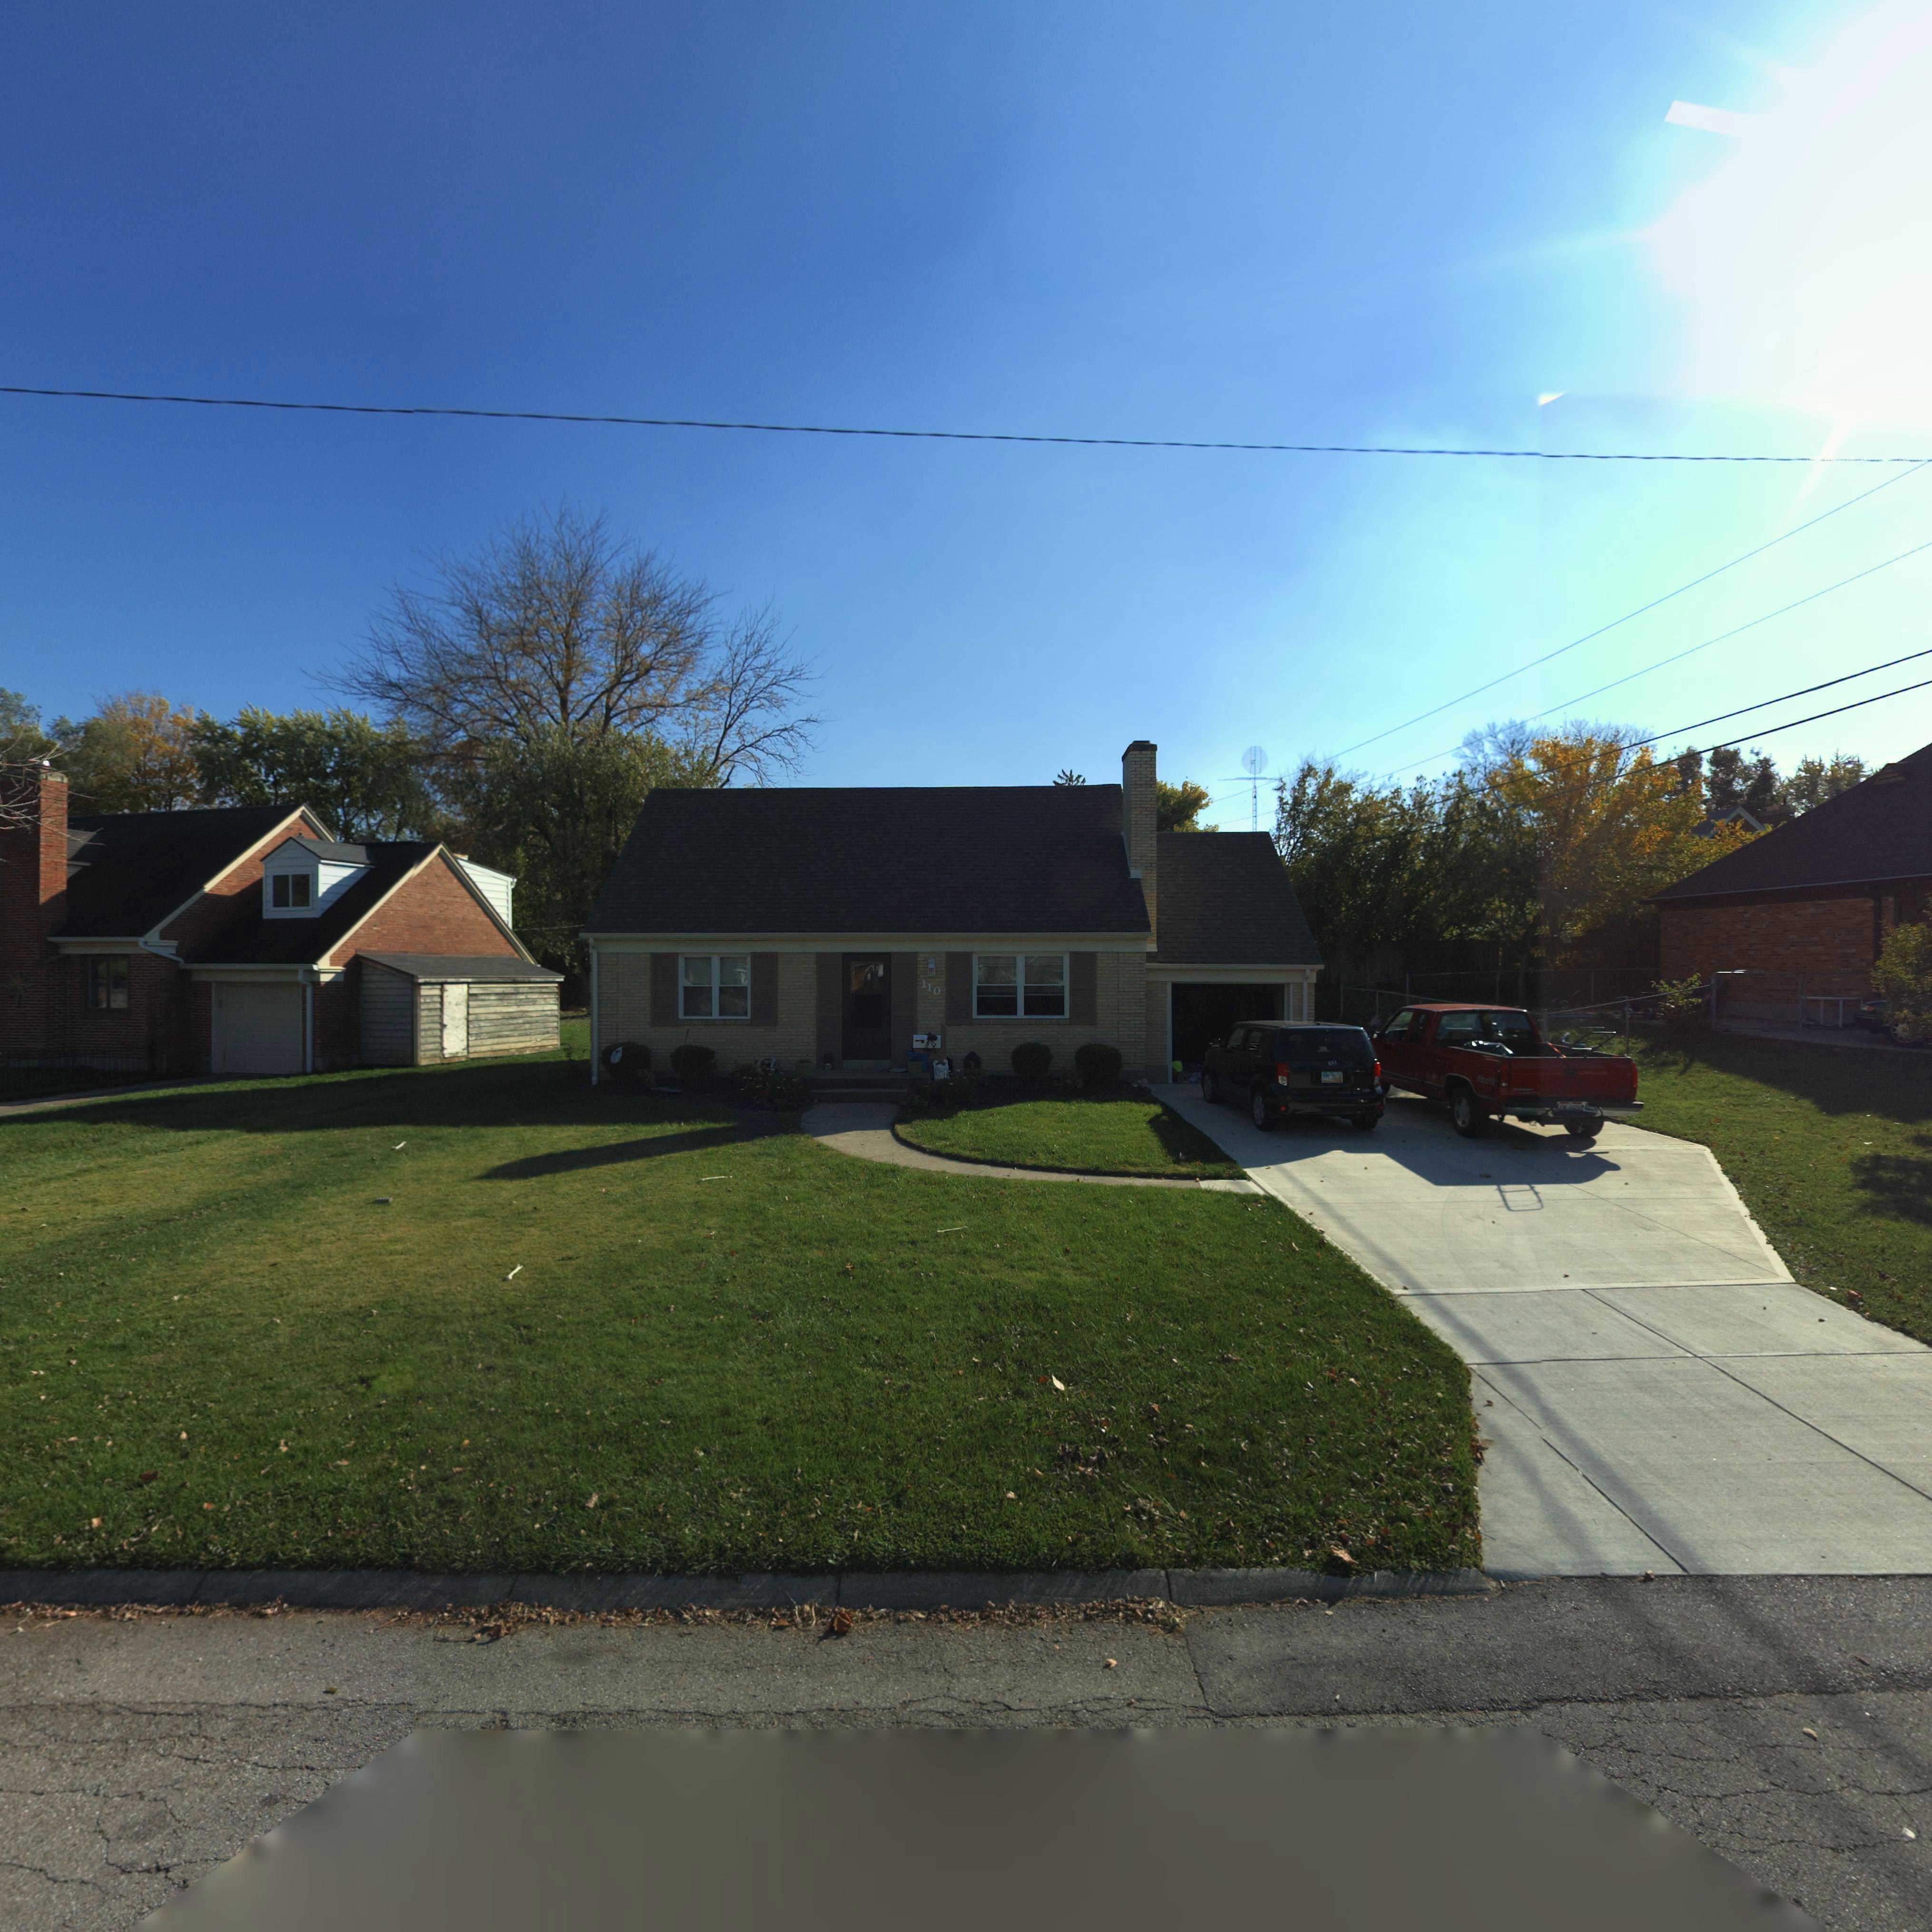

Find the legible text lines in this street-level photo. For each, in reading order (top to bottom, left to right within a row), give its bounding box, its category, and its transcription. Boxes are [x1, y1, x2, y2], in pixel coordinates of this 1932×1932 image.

[920, 978, 943, 997] StreetNumber: 110